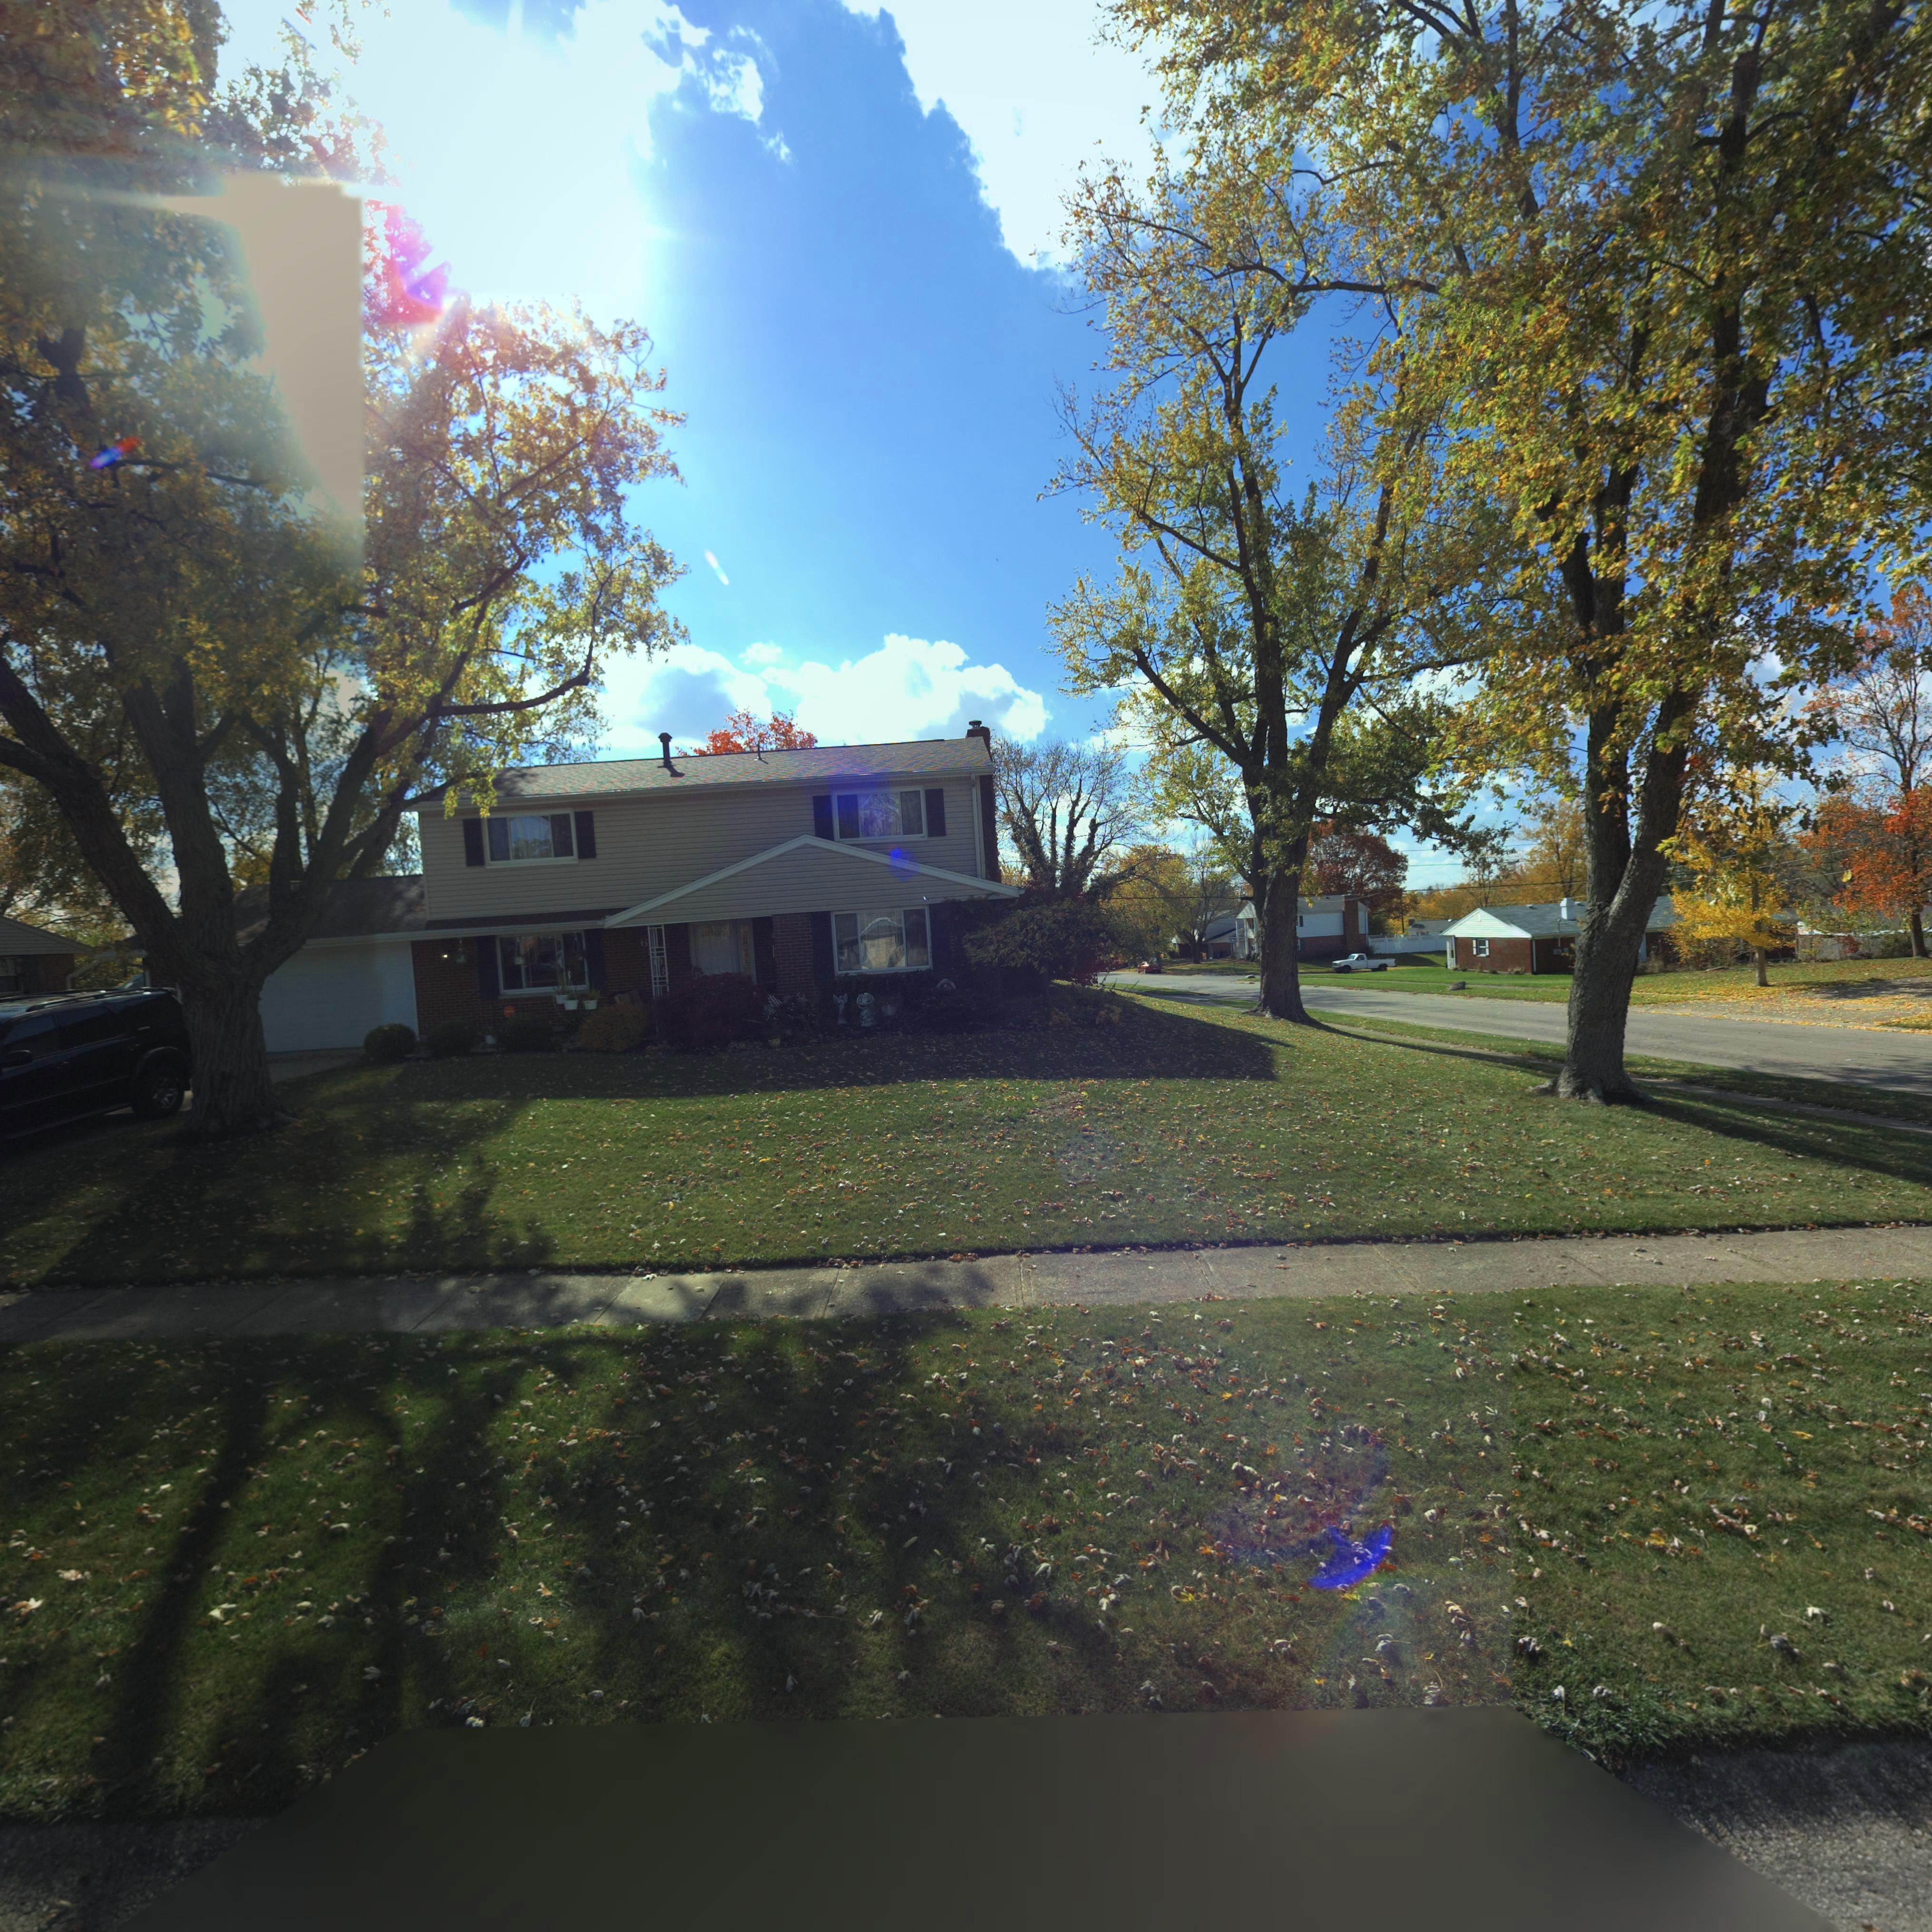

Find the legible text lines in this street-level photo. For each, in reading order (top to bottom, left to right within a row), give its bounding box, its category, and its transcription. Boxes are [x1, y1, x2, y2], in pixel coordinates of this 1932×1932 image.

[640, 938, 648, 947] StreetNumber: 6